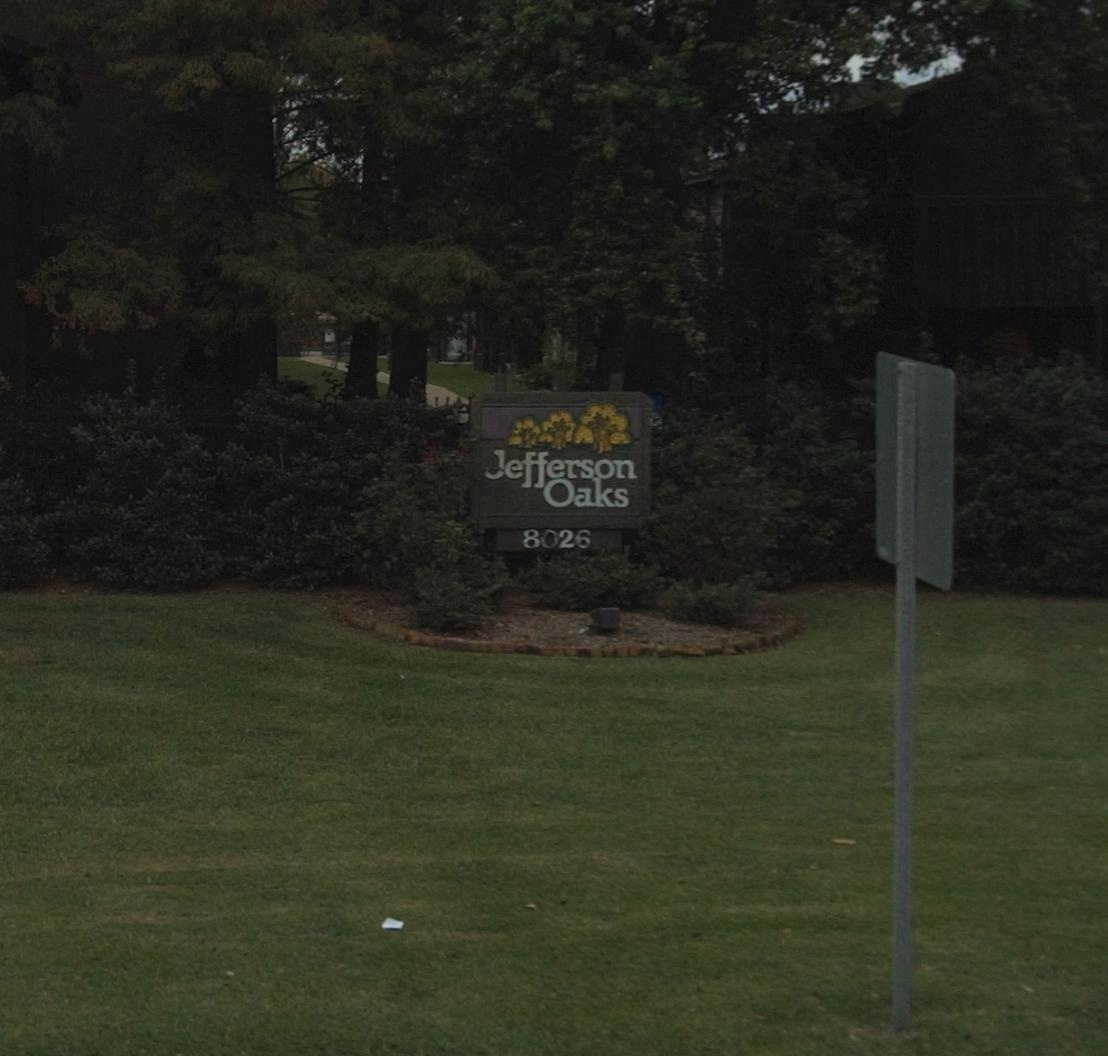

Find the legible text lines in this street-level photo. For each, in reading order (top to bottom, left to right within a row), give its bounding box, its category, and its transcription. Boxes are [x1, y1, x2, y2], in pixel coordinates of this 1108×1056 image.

[481, 449, 639, 490] BusinessName: Jefferson
[543, 478, 630, 508] BusinessName: Oaks
[522, 529, 592, 551] StreetNumber: 8026